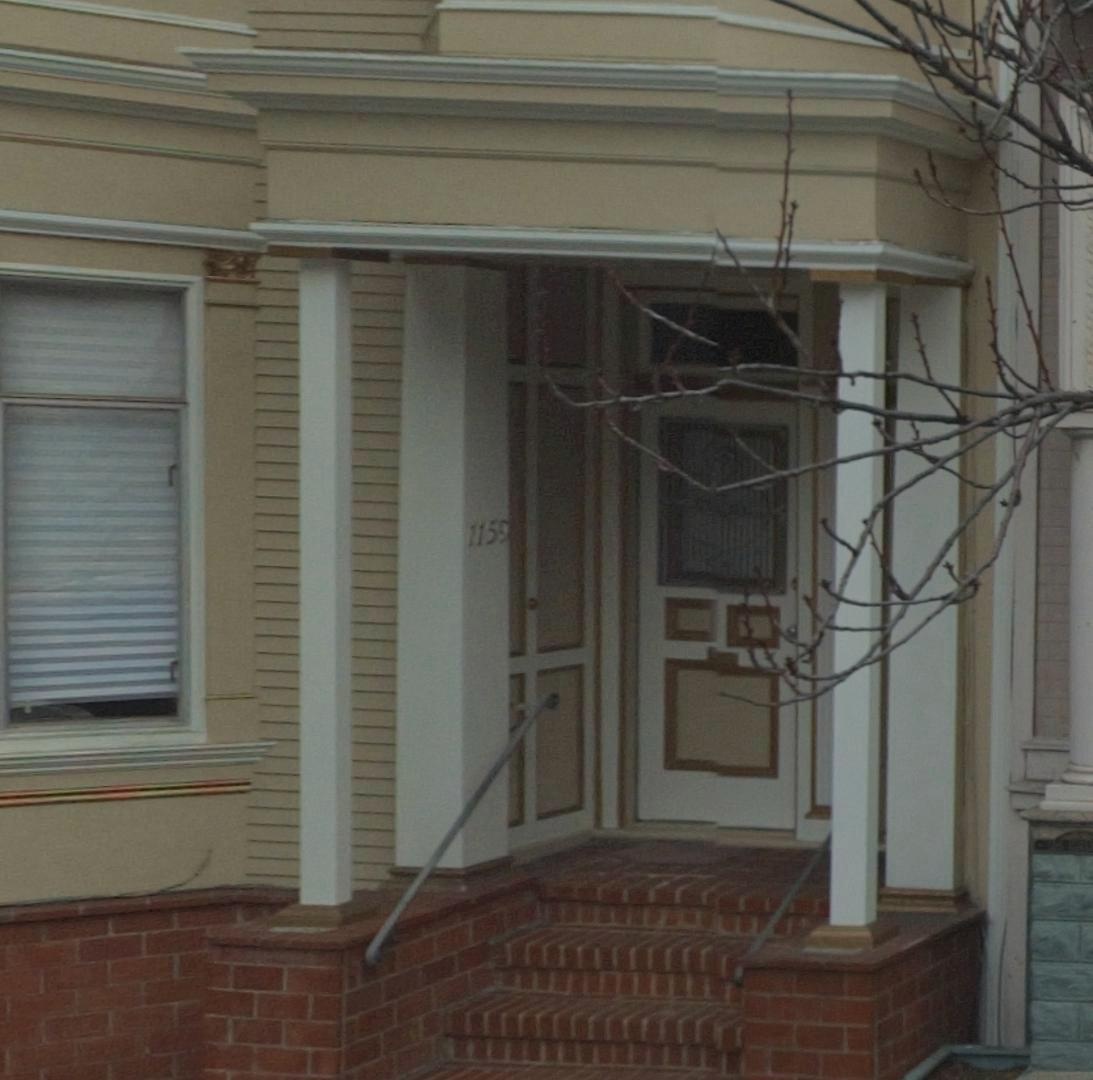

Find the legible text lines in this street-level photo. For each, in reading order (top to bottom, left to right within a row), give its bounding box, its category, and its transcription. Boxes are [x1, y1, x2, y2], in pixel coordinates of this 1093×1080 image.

[467, 517, 513, 549] StreetNumber: 1159